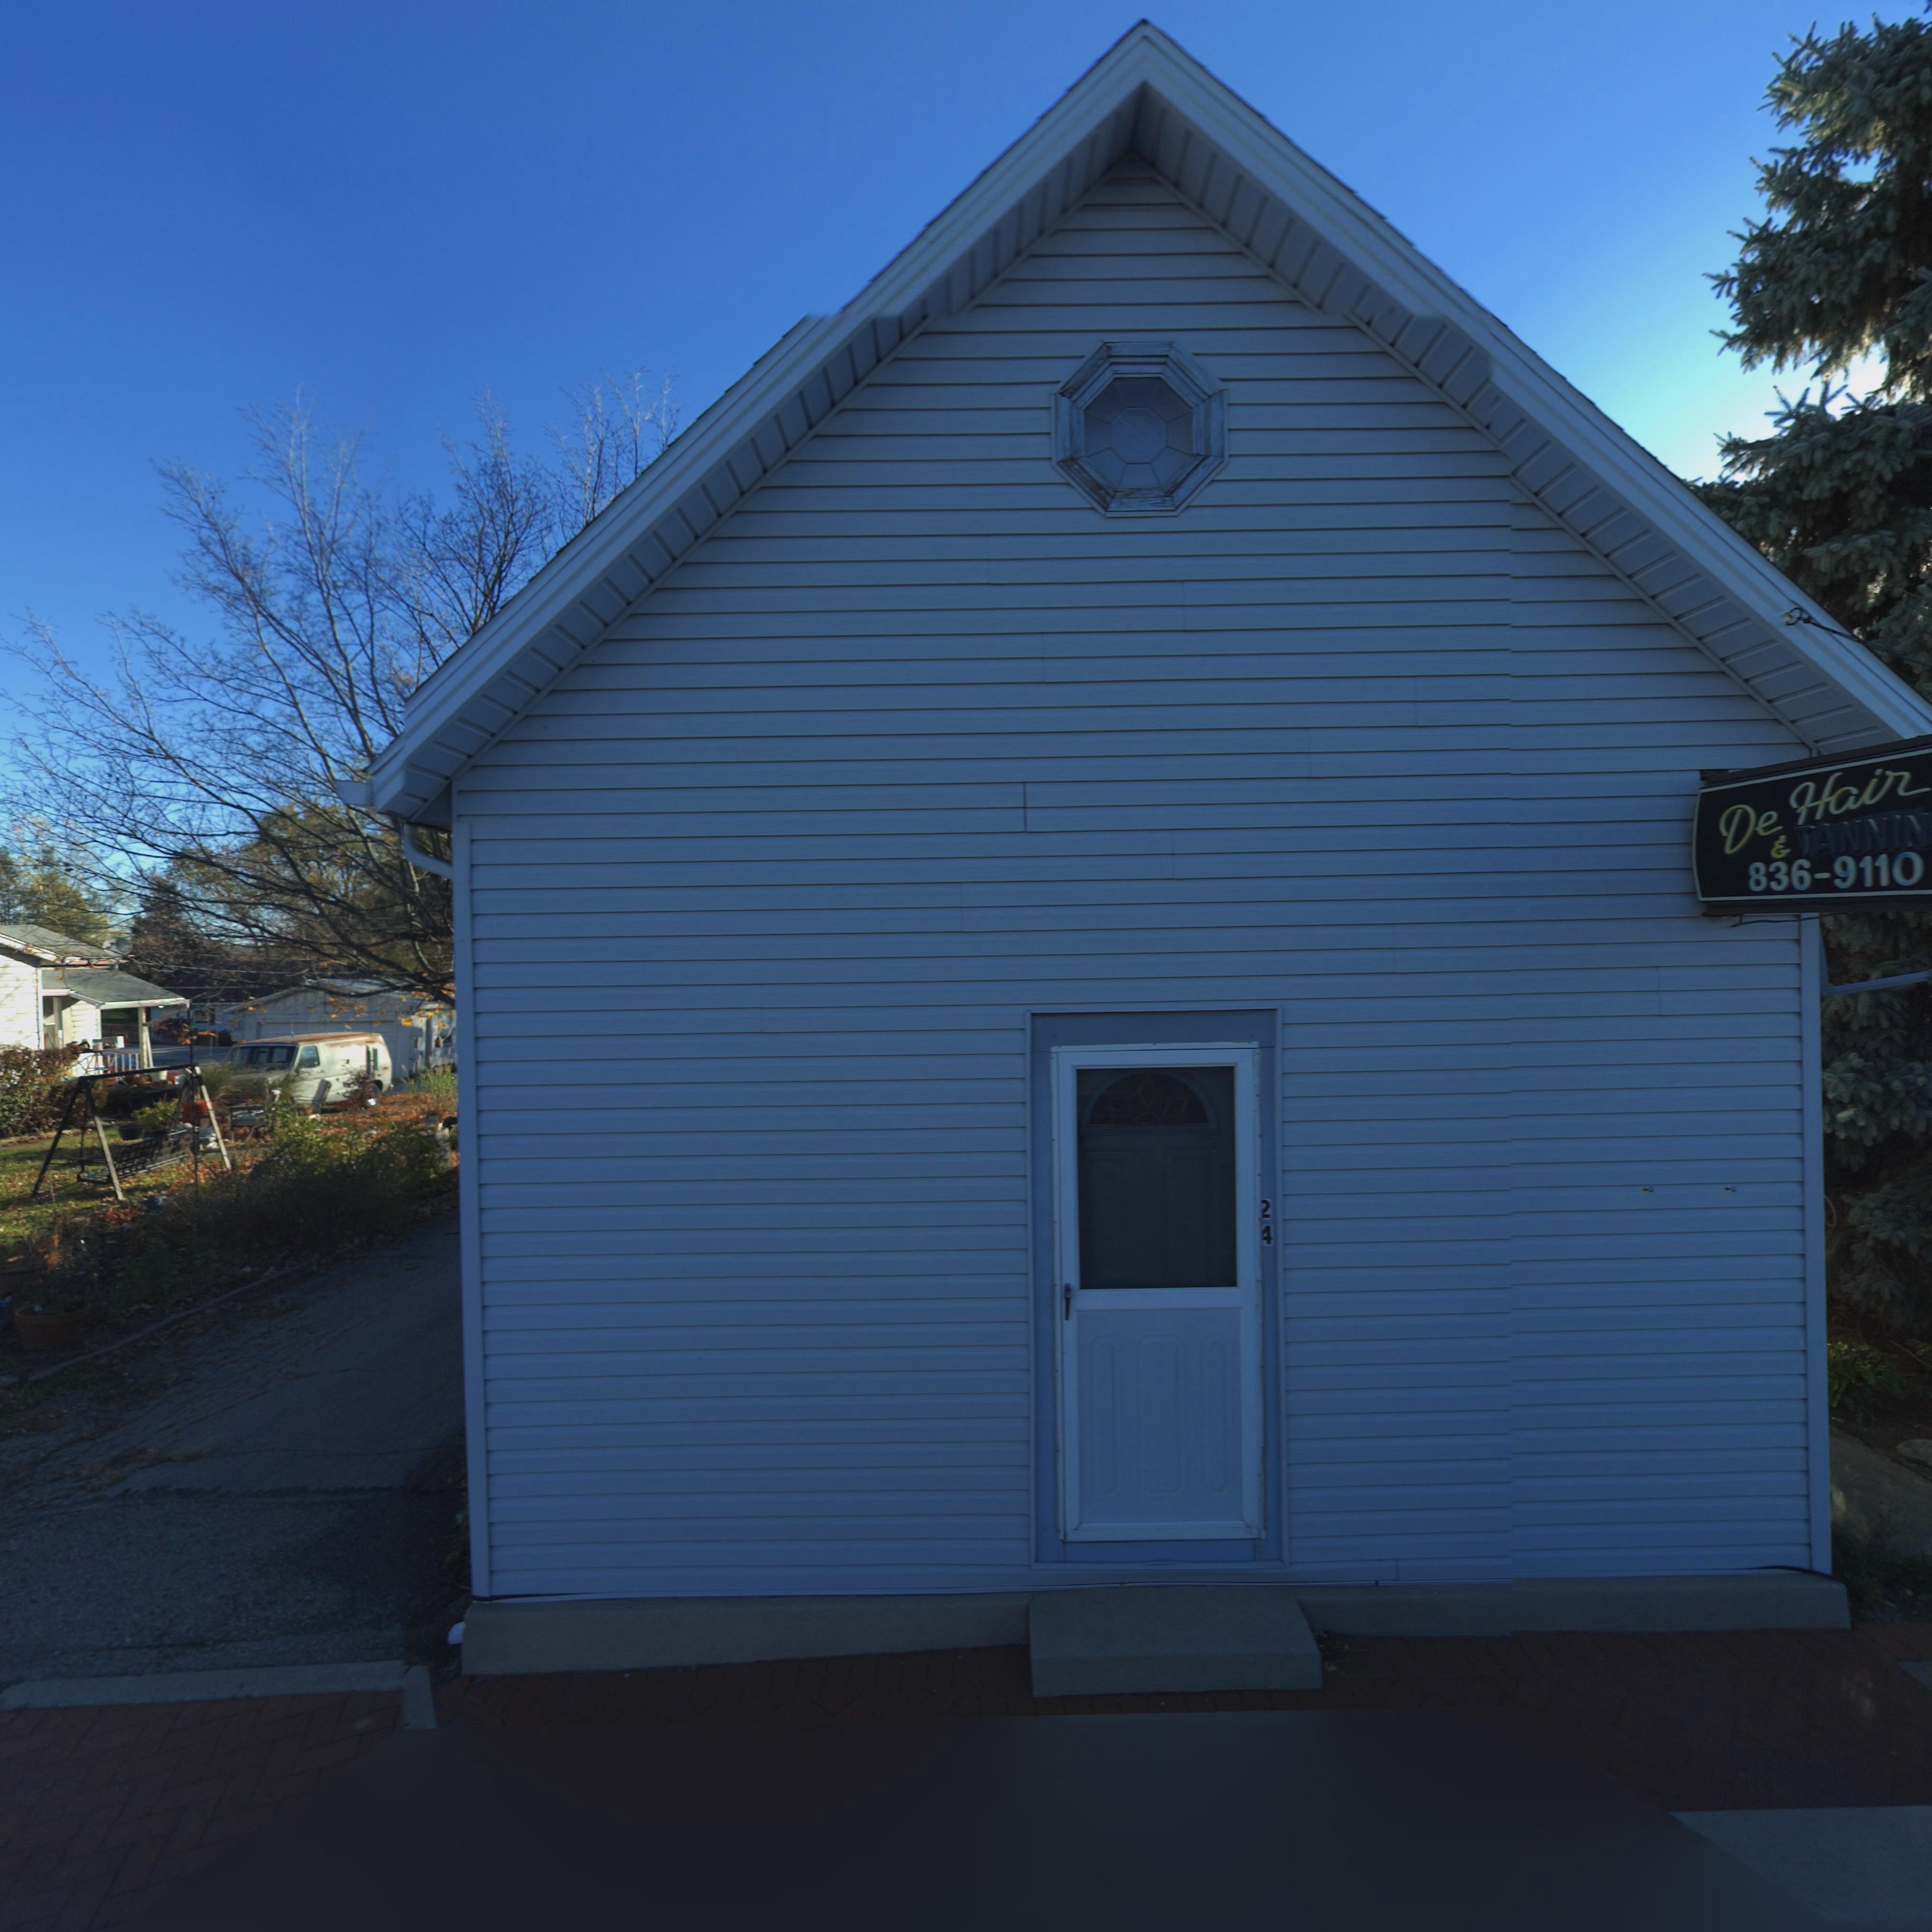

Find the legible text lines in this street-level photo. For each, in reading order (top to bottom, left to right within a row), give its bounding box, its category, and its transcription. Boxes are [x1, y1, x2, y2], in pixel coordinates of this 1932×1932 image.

[1717, 769, 1931, 860] None: De Hair
[1746, 850, 1924, 893] None: 836-9110
[1260, 1199, 1273, 1245] StreetNumber: 24